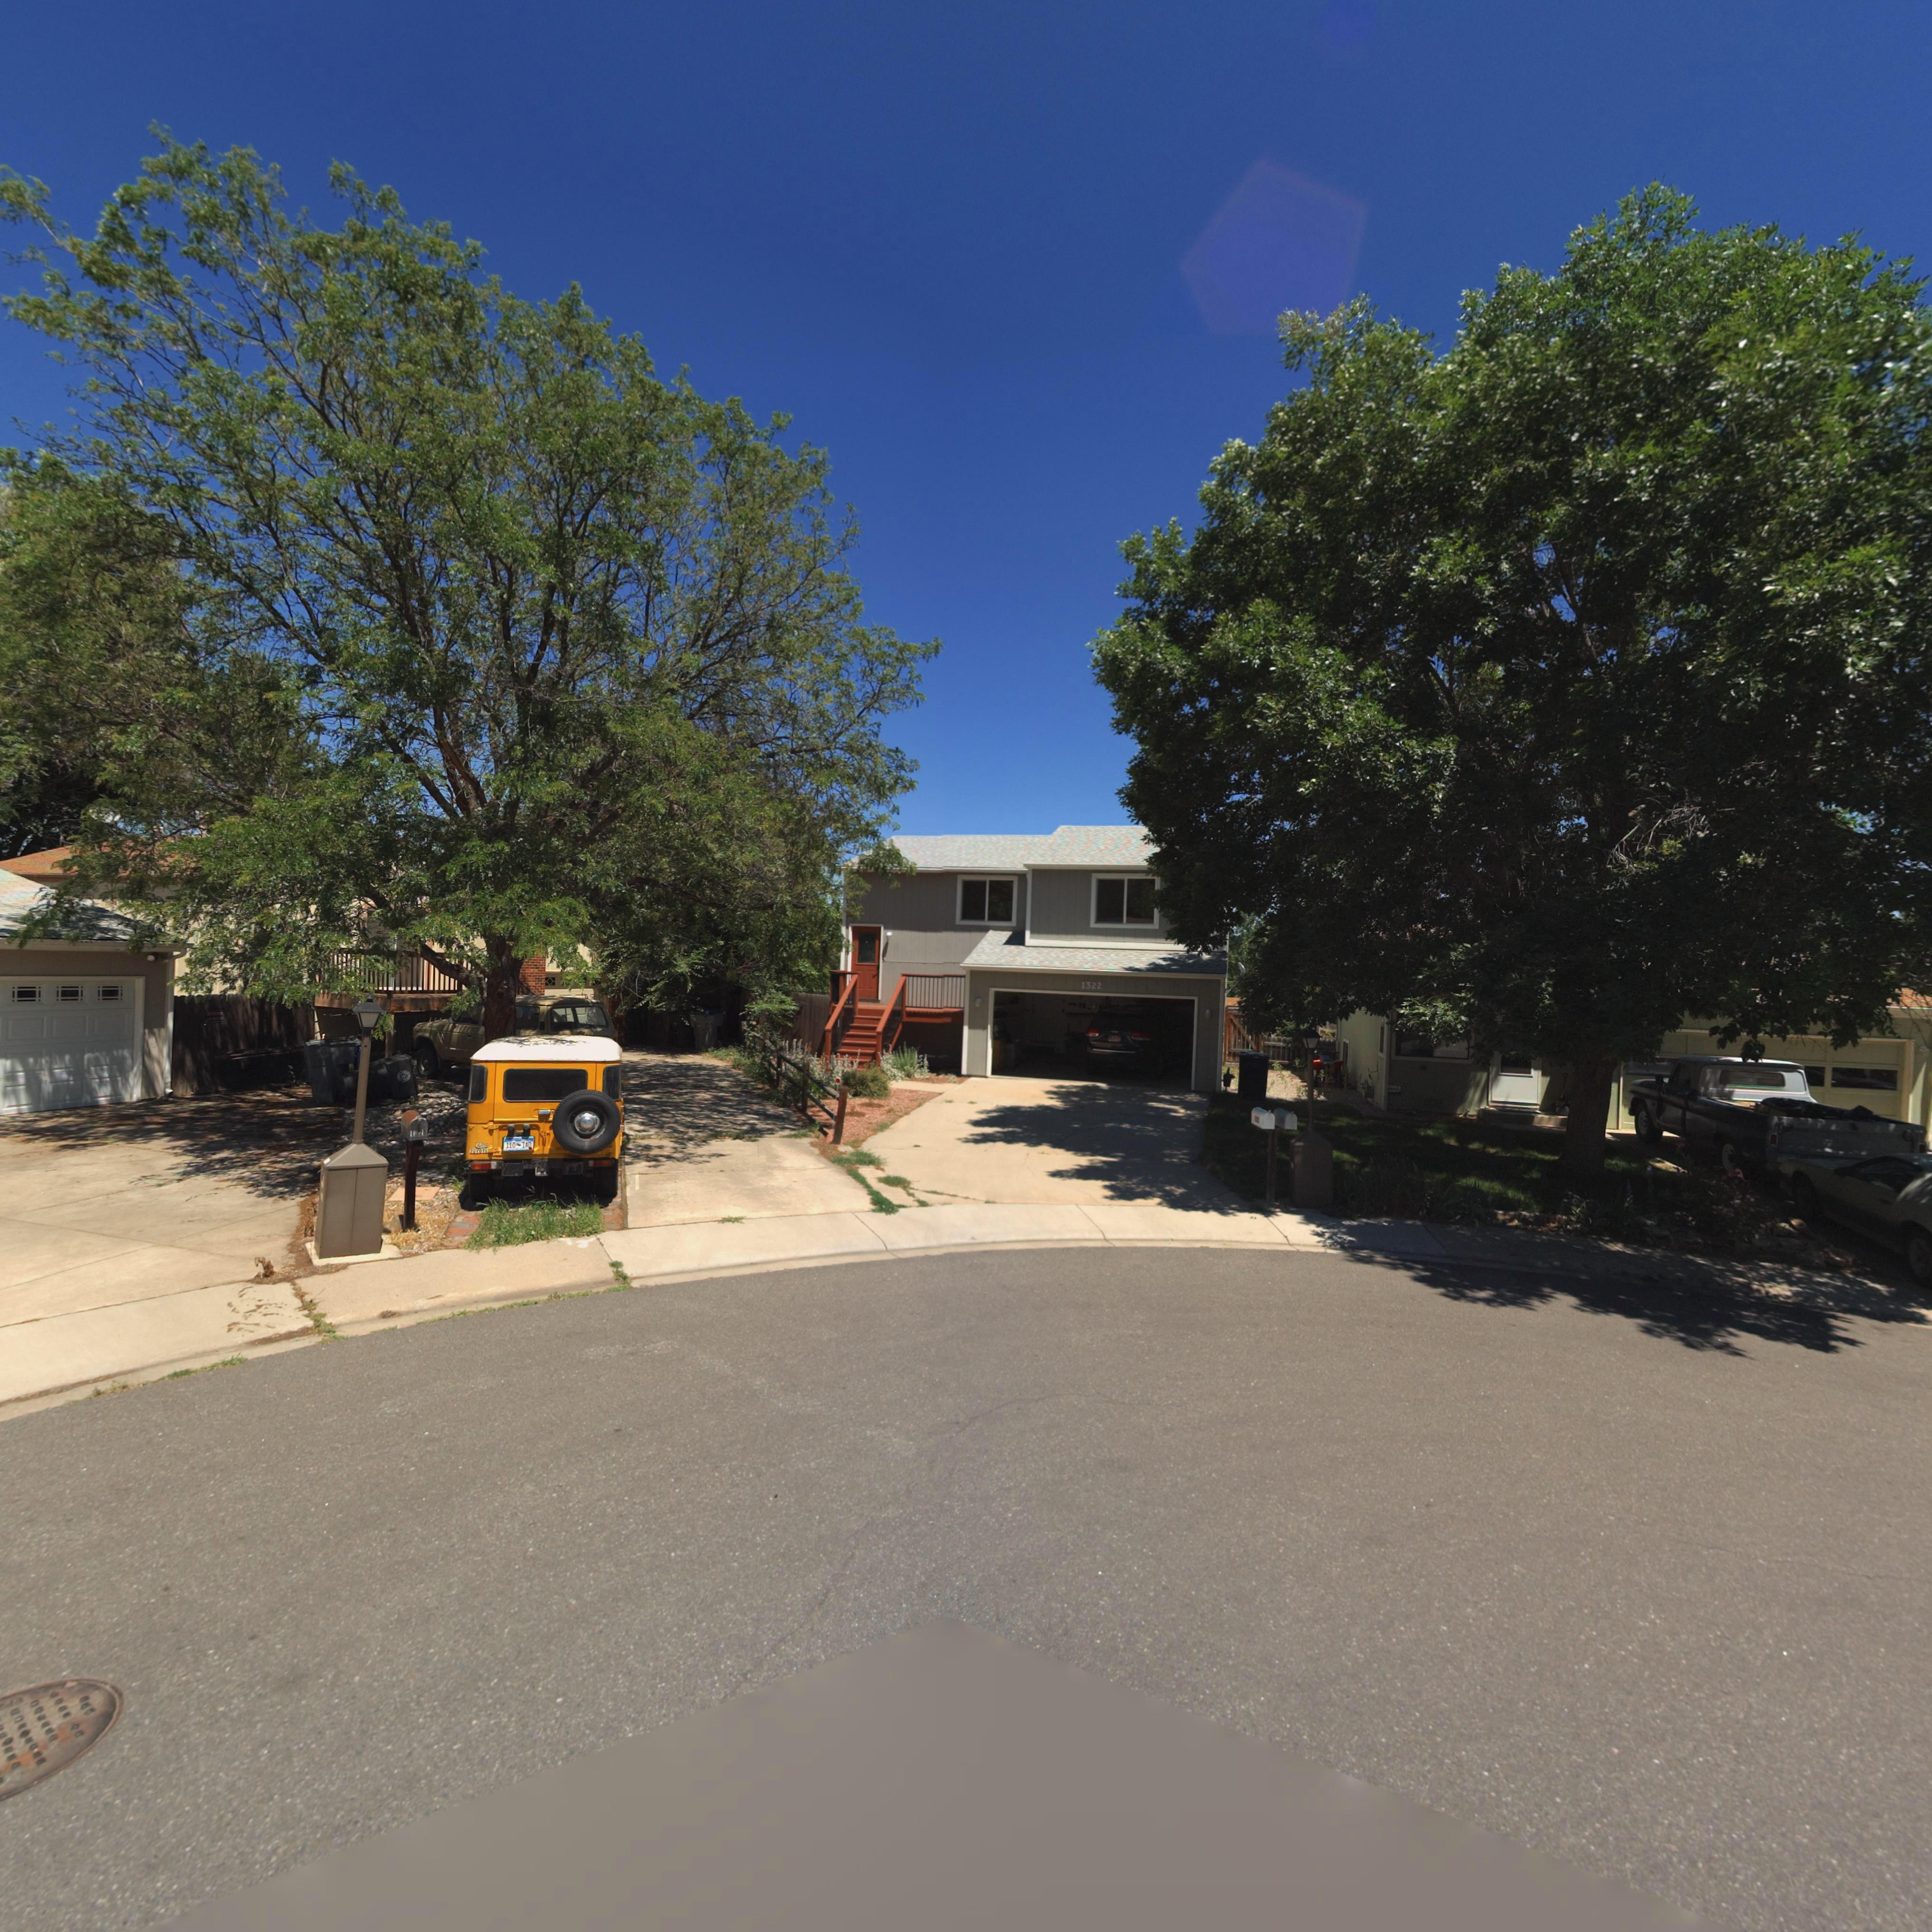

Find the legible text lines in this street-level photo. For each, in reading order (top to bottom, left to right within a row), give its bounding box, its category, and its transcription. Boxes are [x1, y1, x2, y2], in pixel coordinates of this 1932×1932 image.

[1082, 982, 1101, 989] StreetNumber: 1322
[411, 1129, 426, 1136] StreetNumber: 132*